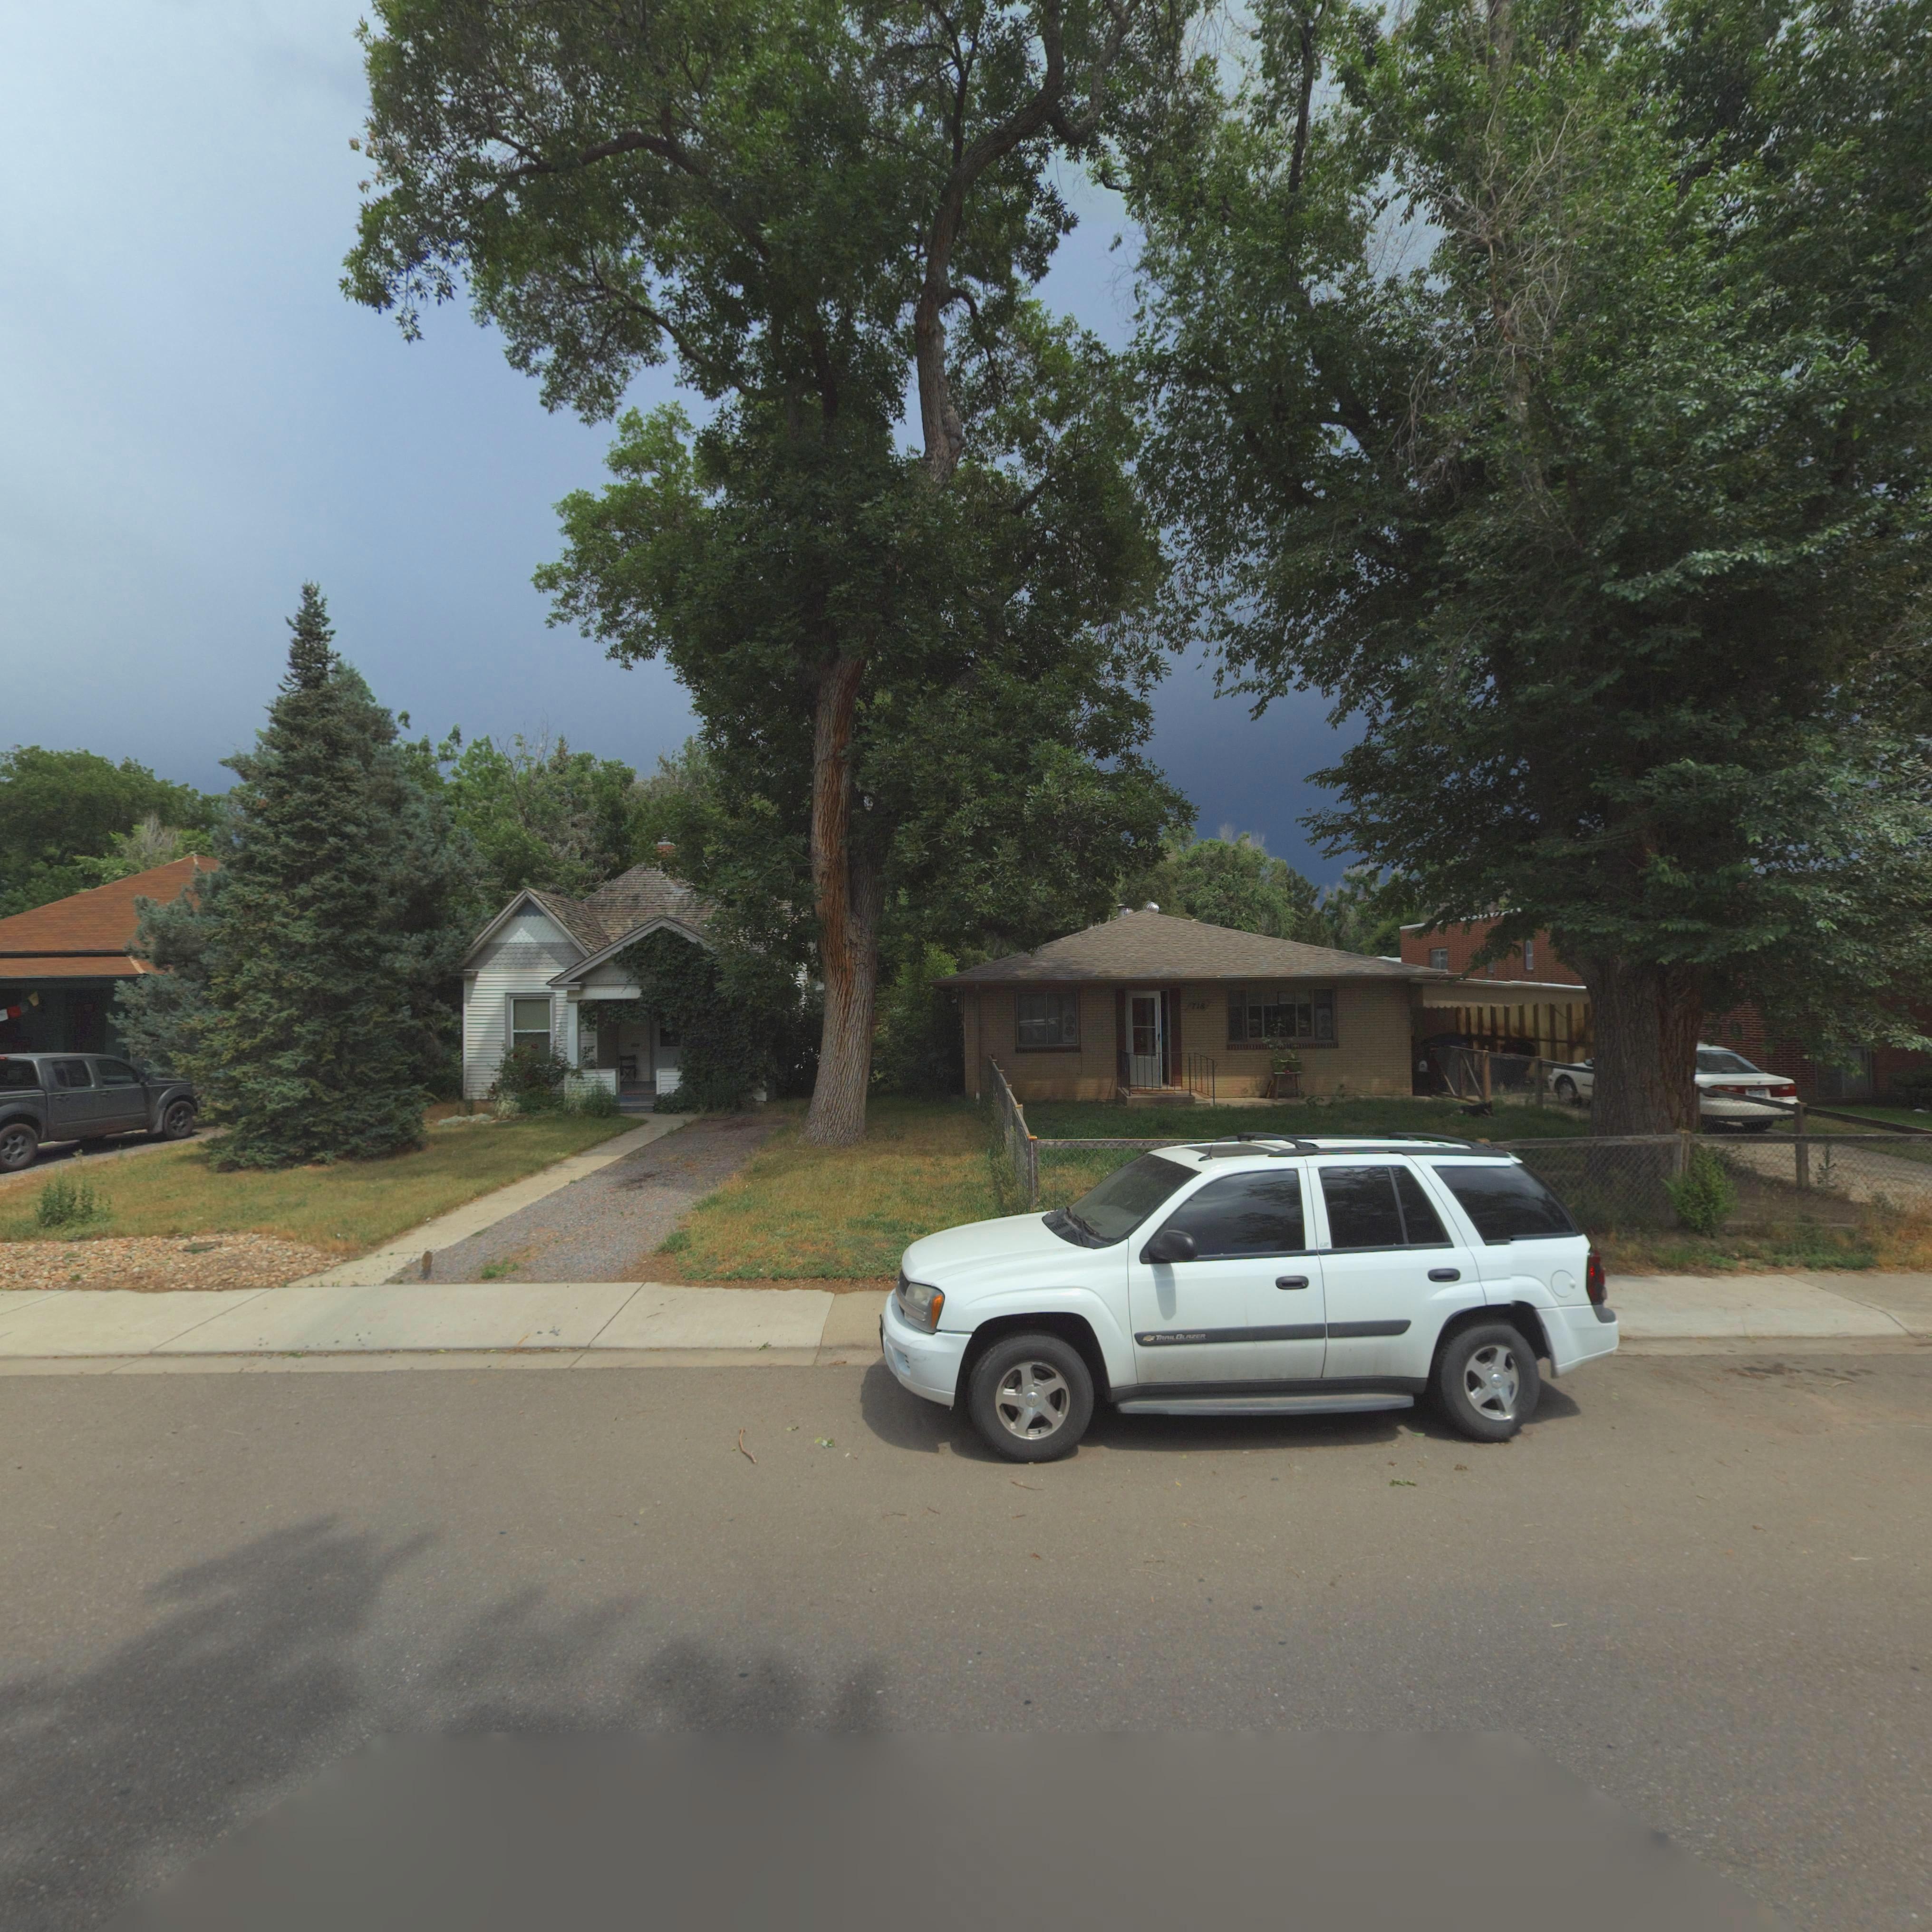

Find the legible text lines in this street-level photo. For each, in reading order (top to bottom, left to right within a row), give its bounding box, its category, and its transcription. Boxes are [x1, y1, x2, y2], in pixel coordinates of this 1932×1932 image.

[1191, 1002, 1205, 1009] StreetNumber: 718